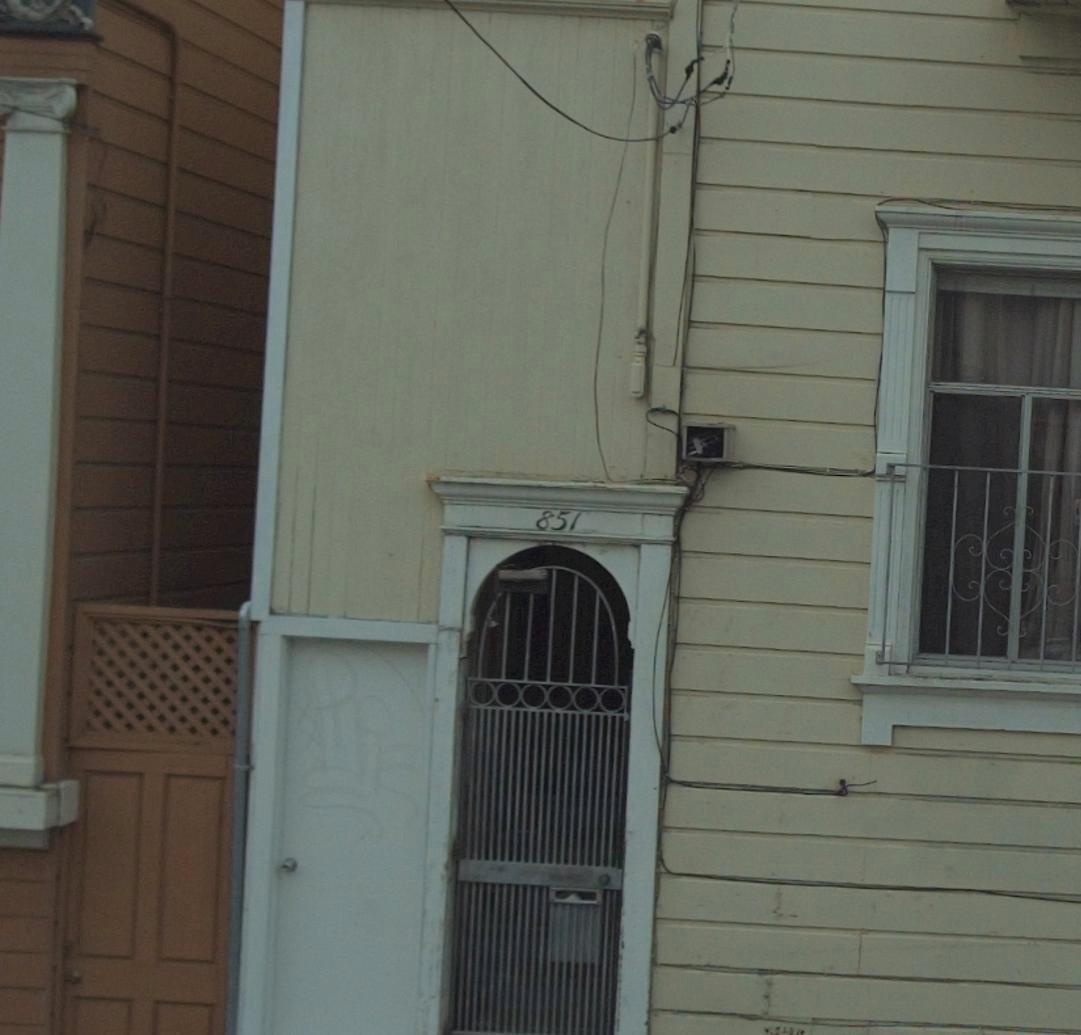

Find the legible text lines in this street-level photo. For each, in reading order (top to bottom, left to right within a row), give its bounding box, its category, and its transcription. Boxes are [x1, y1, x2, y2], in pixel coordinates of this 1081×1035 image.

[536, 509, 583, 532] StreetNumber: 851